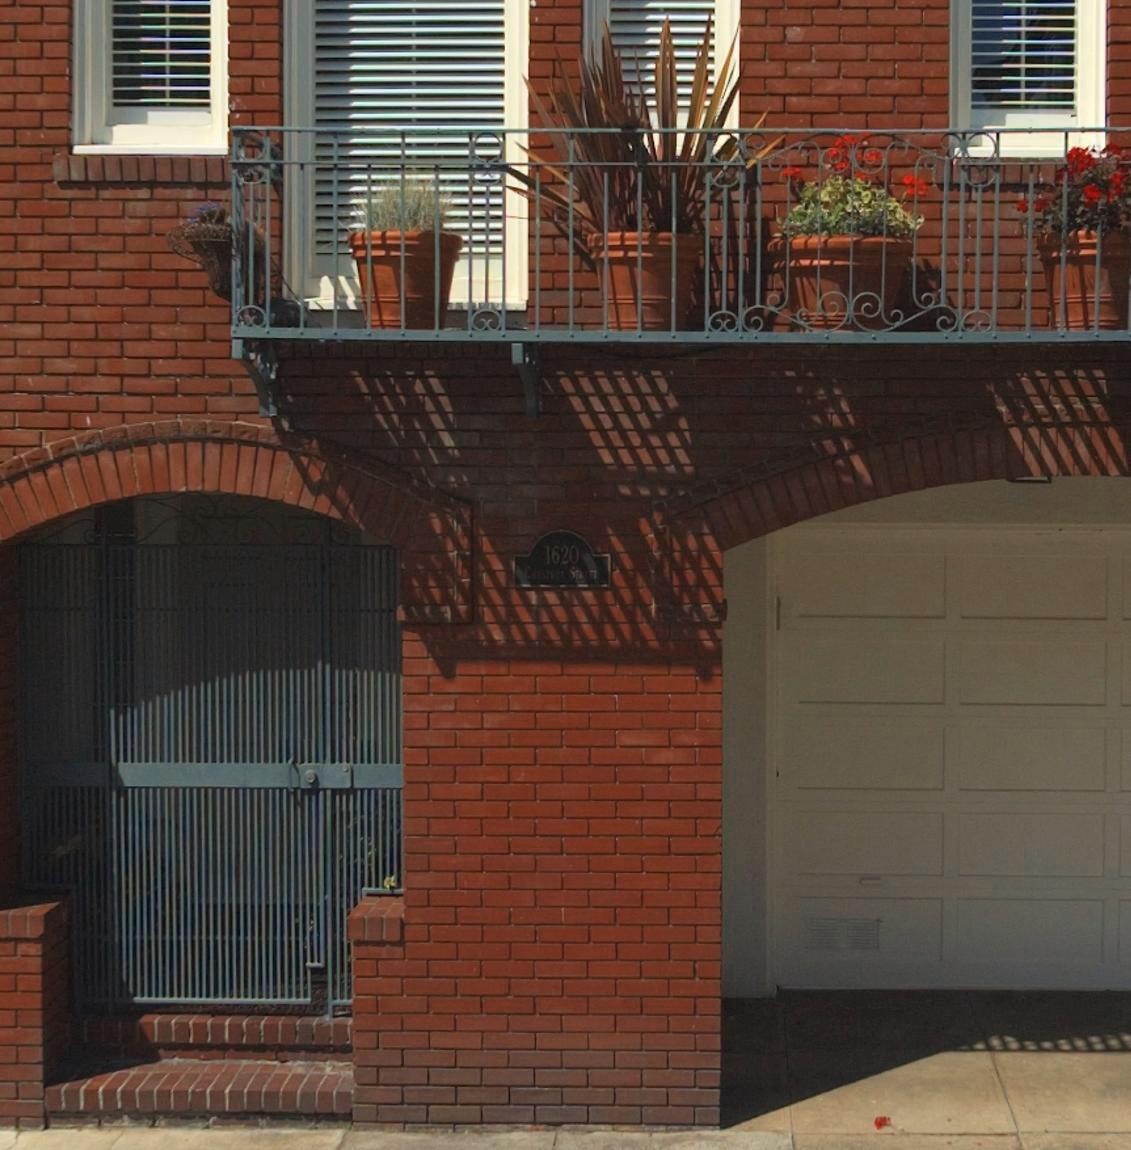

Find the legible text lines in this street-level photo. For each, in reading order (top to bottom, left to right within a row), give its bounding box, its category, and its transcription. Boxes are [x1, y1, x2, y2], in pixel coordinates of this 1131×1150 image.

[545, 544, 580, 566] StreetNumber: 1620
[523, 566, 599, 581] StreetName: C******* STREET